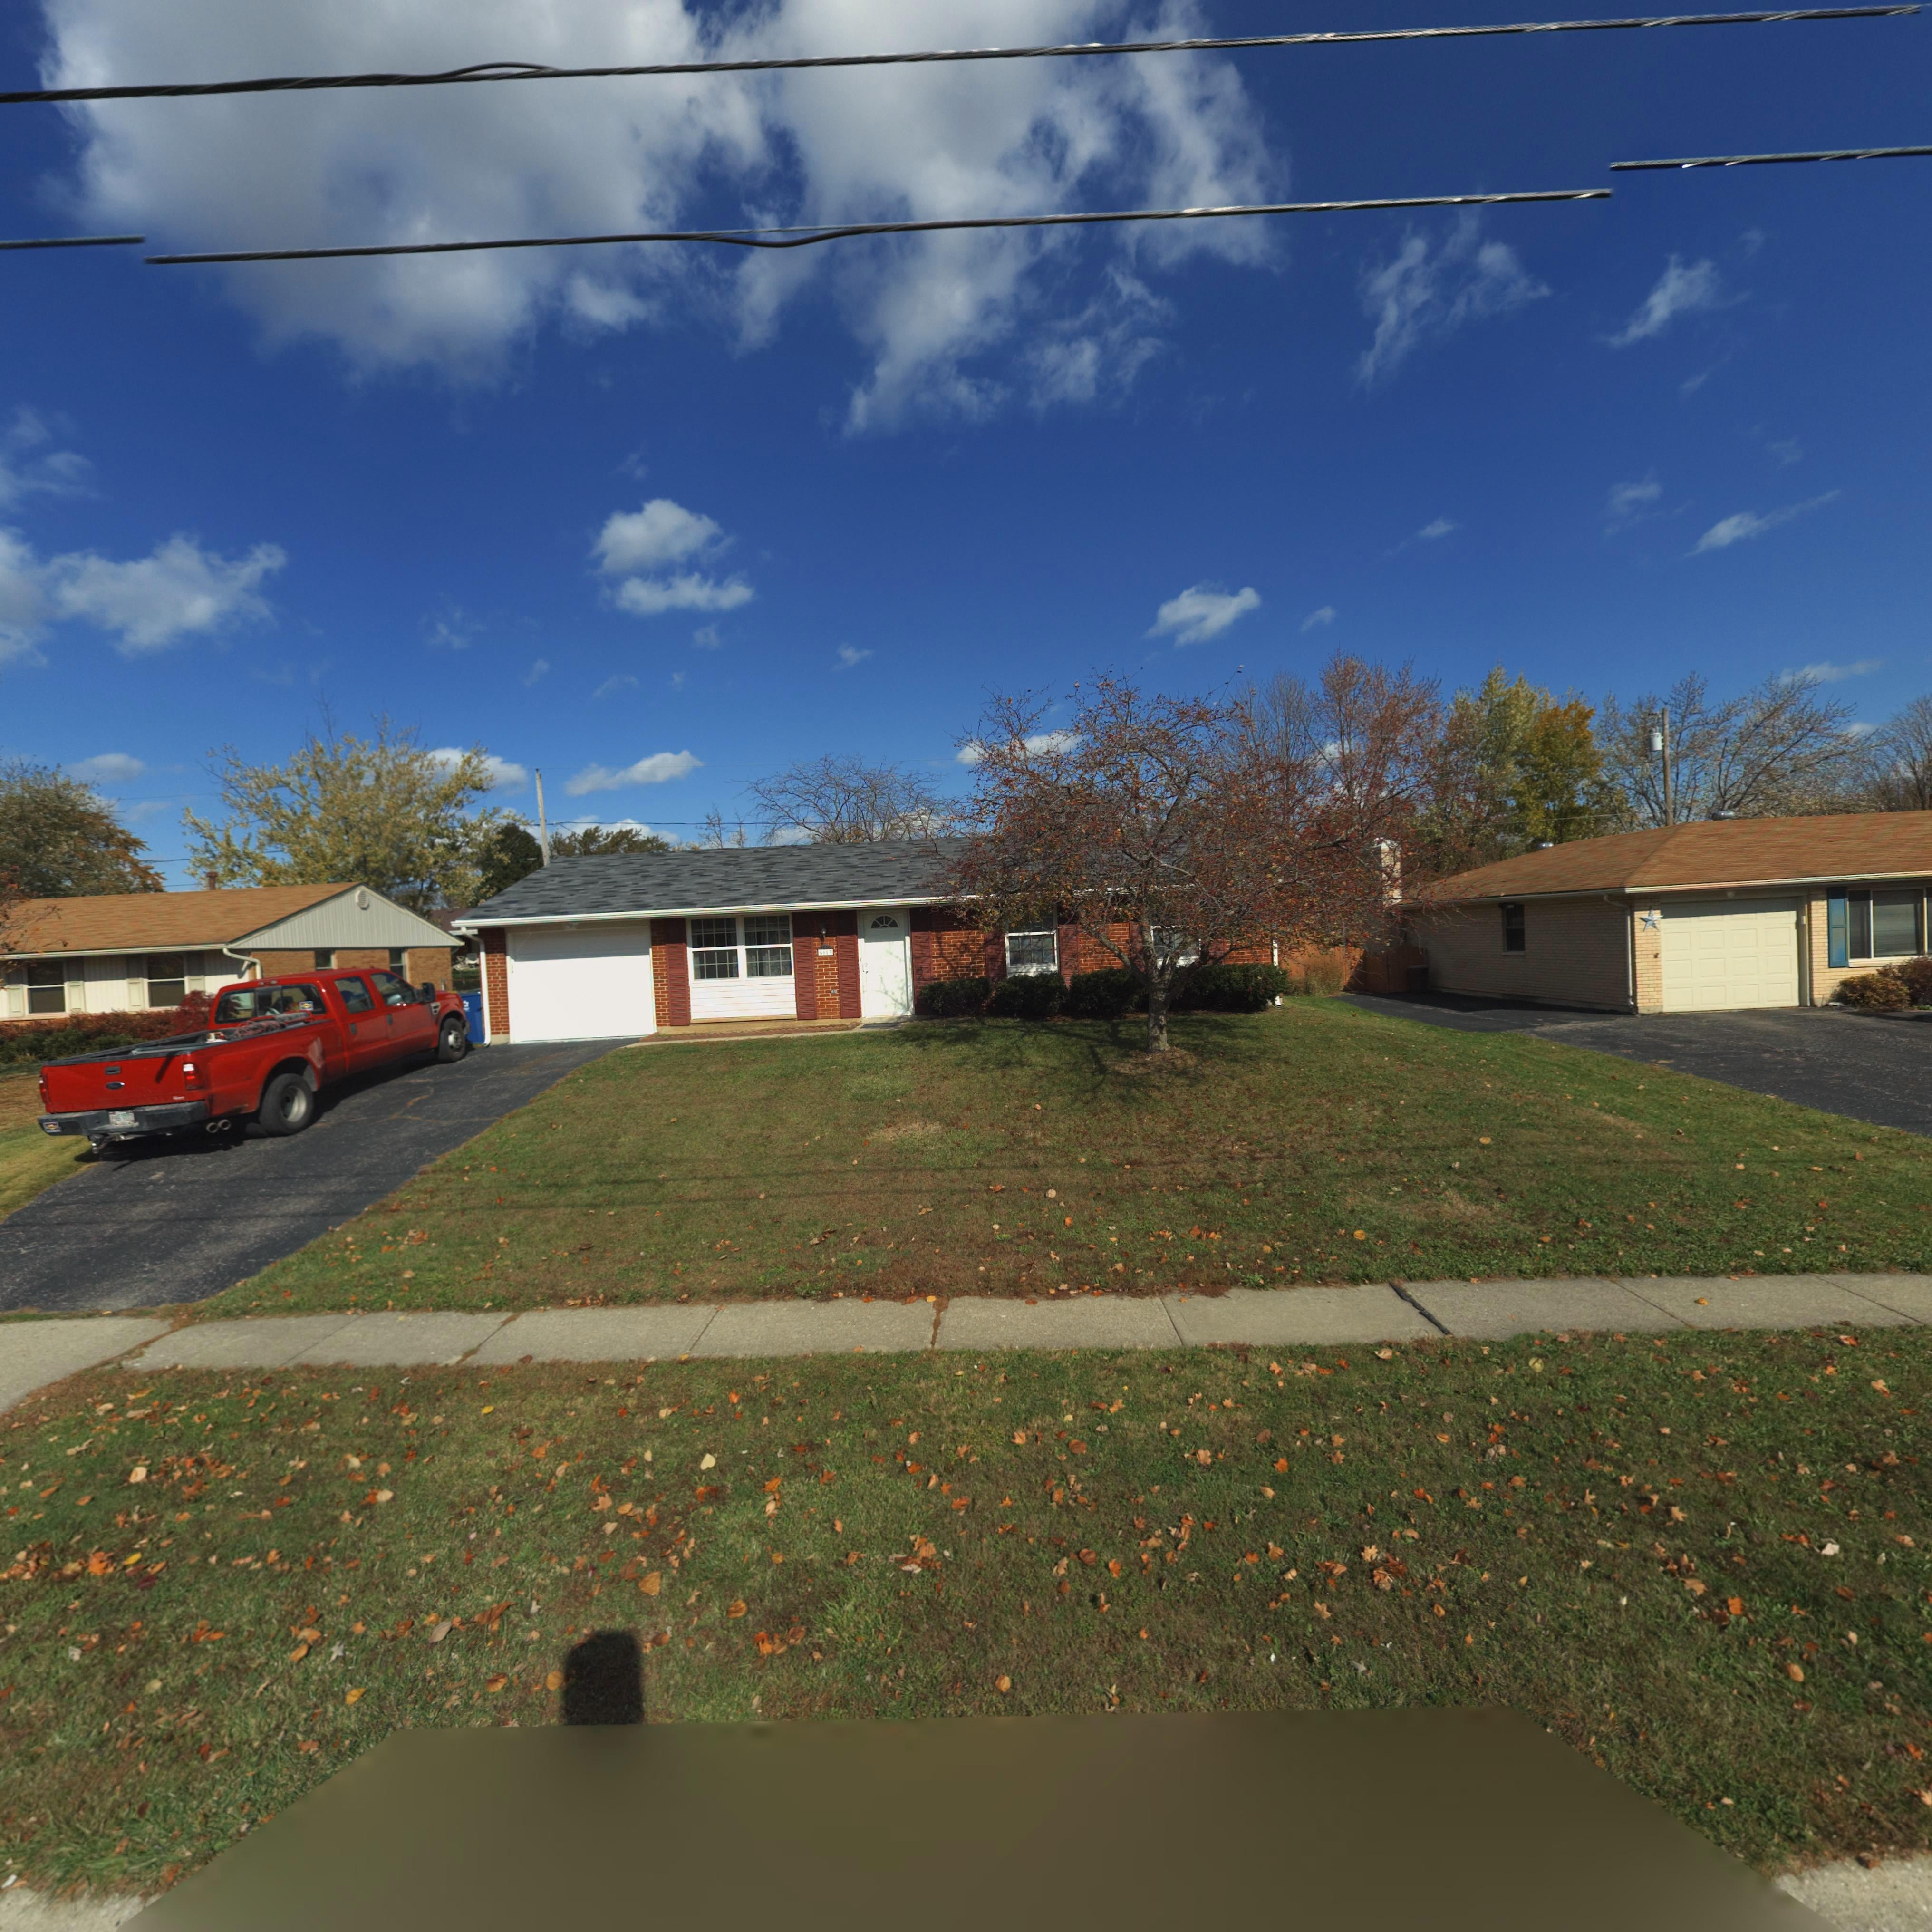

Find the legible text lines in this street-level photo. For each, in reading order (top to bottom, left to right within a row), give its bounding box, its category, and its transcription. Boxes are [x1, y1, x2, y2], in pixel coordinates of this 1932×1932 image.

[820, 949, 832, 955] StreetNumber: 6*1*